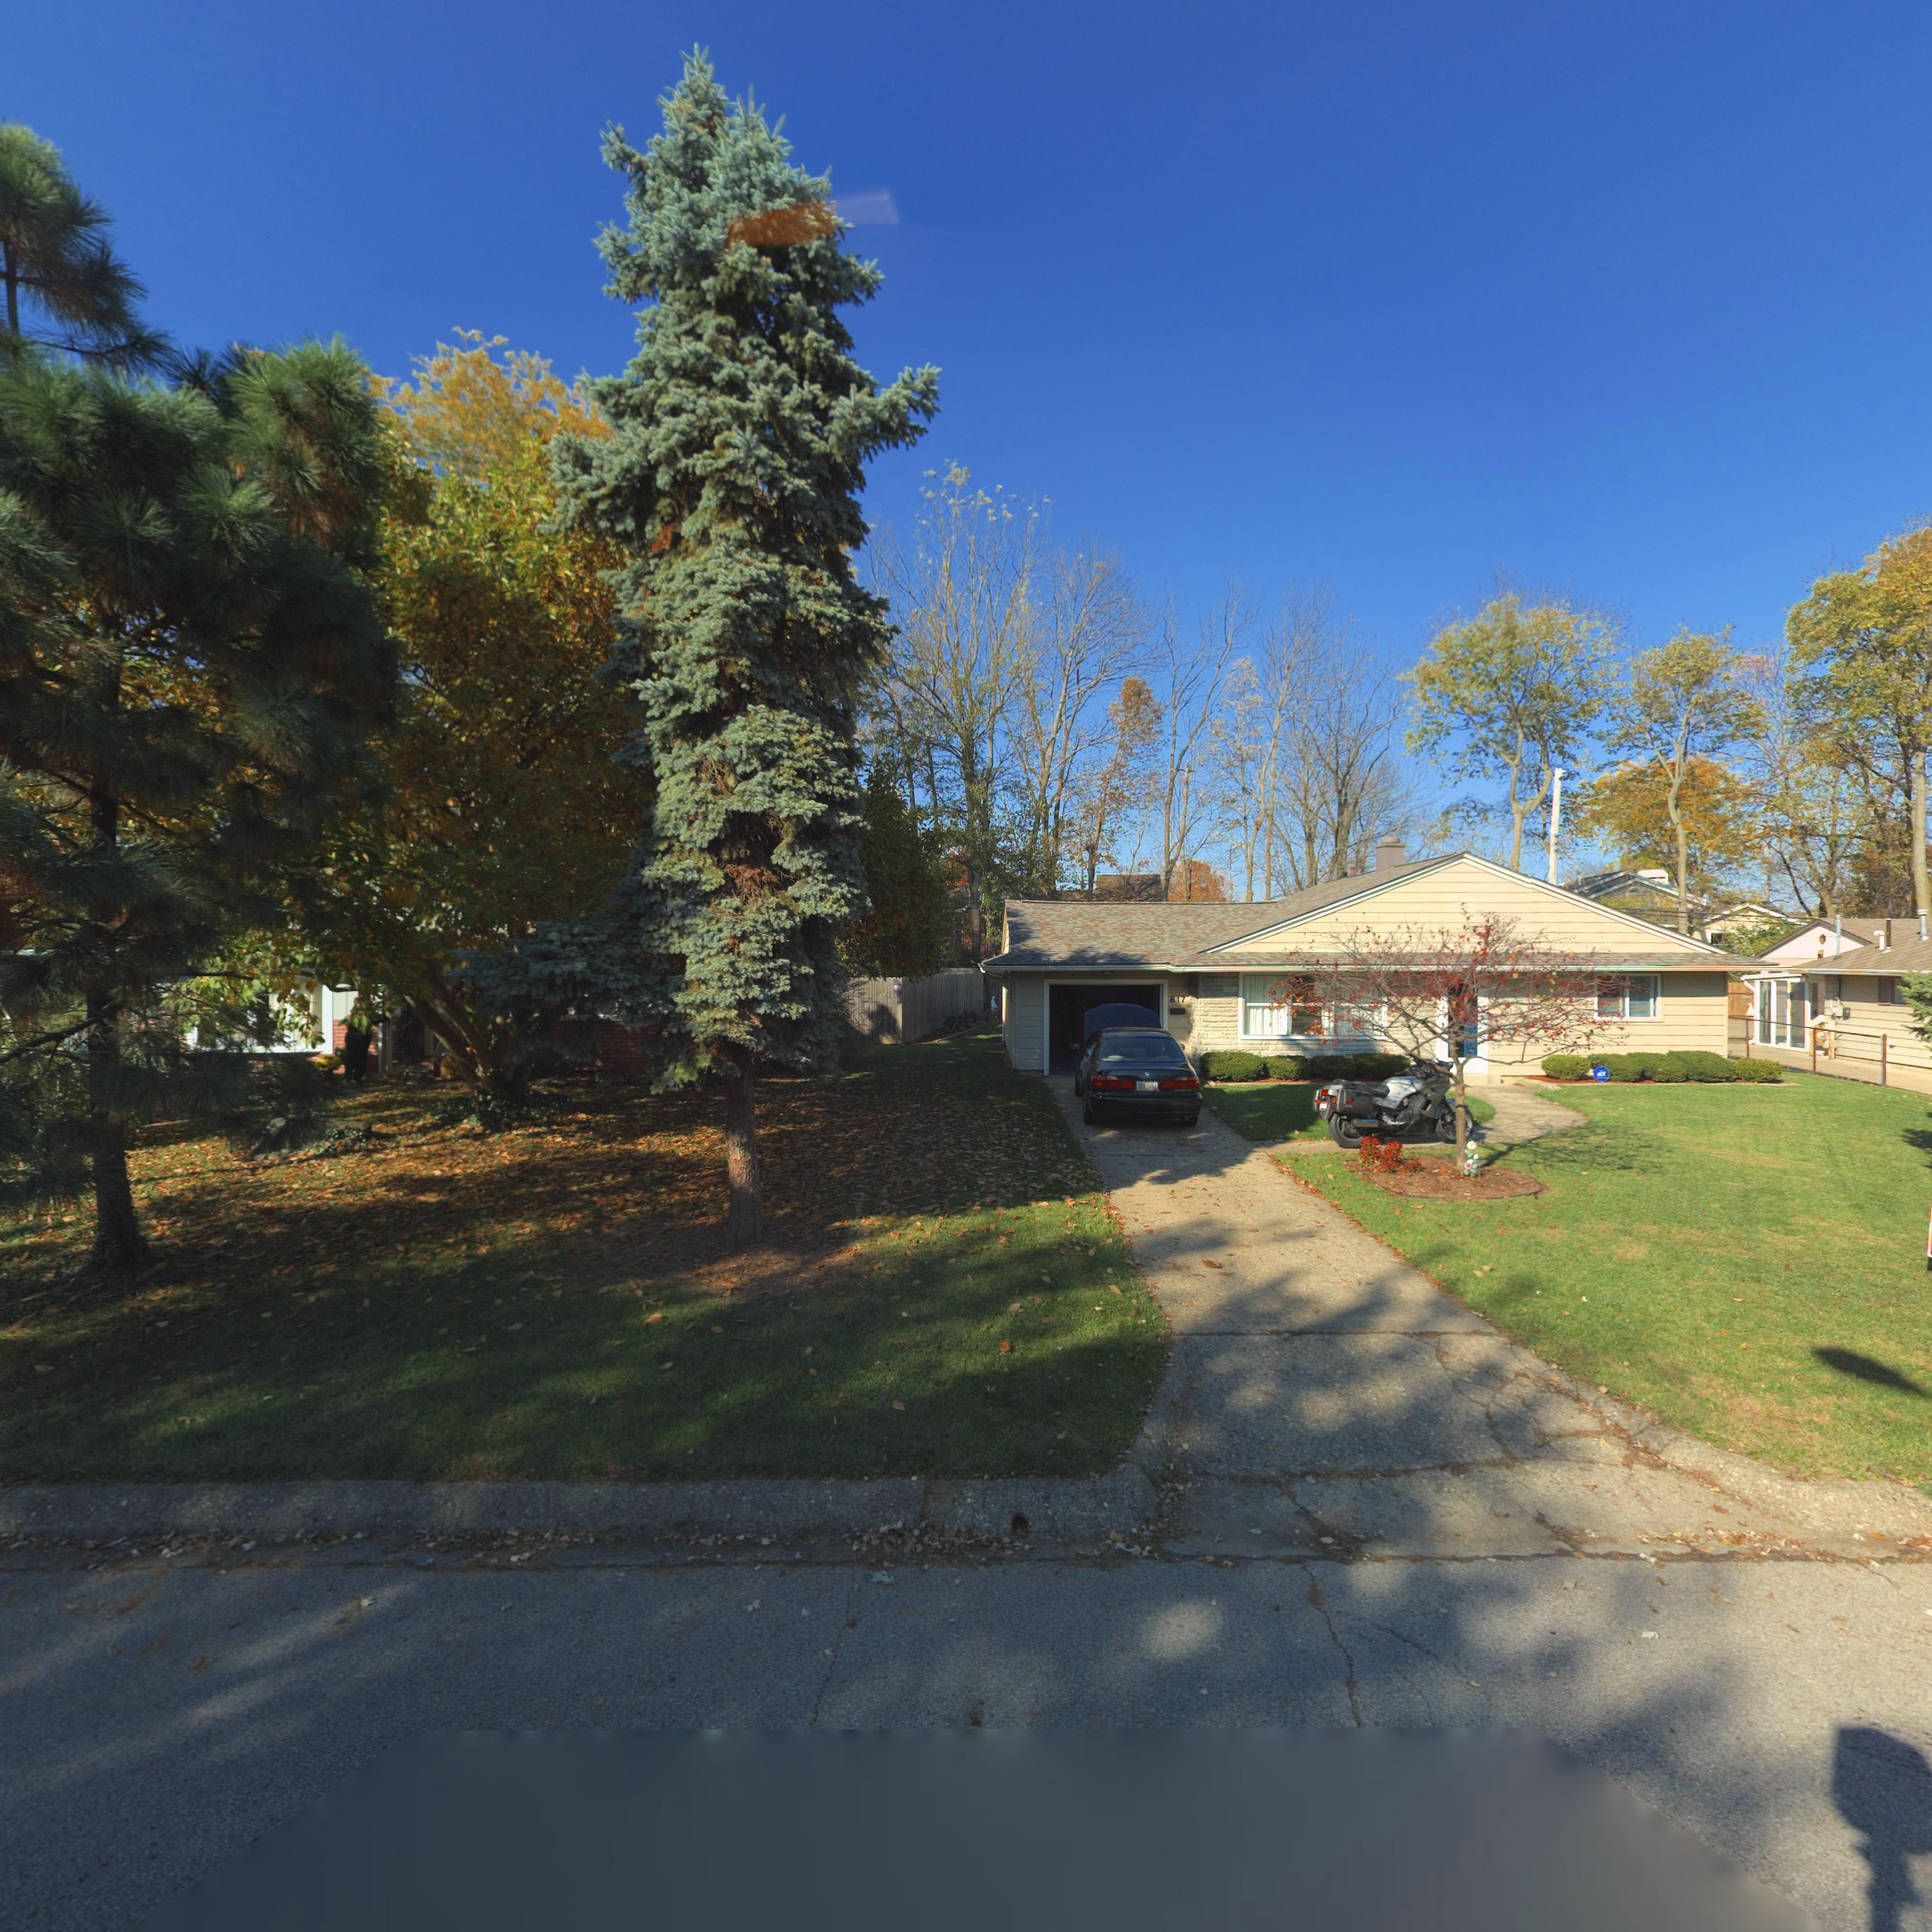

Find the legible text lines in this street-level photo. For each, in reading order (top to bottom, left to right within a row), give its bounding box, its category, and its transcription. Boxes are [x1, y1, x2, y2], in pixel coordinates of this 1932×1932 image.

[1170, 995, 1186, 1003] StreetNumber: 817
[1595, 1071, 1607, 1076] None: ADT
[1138, 1082, 1157, 1089] None: *EW 2654